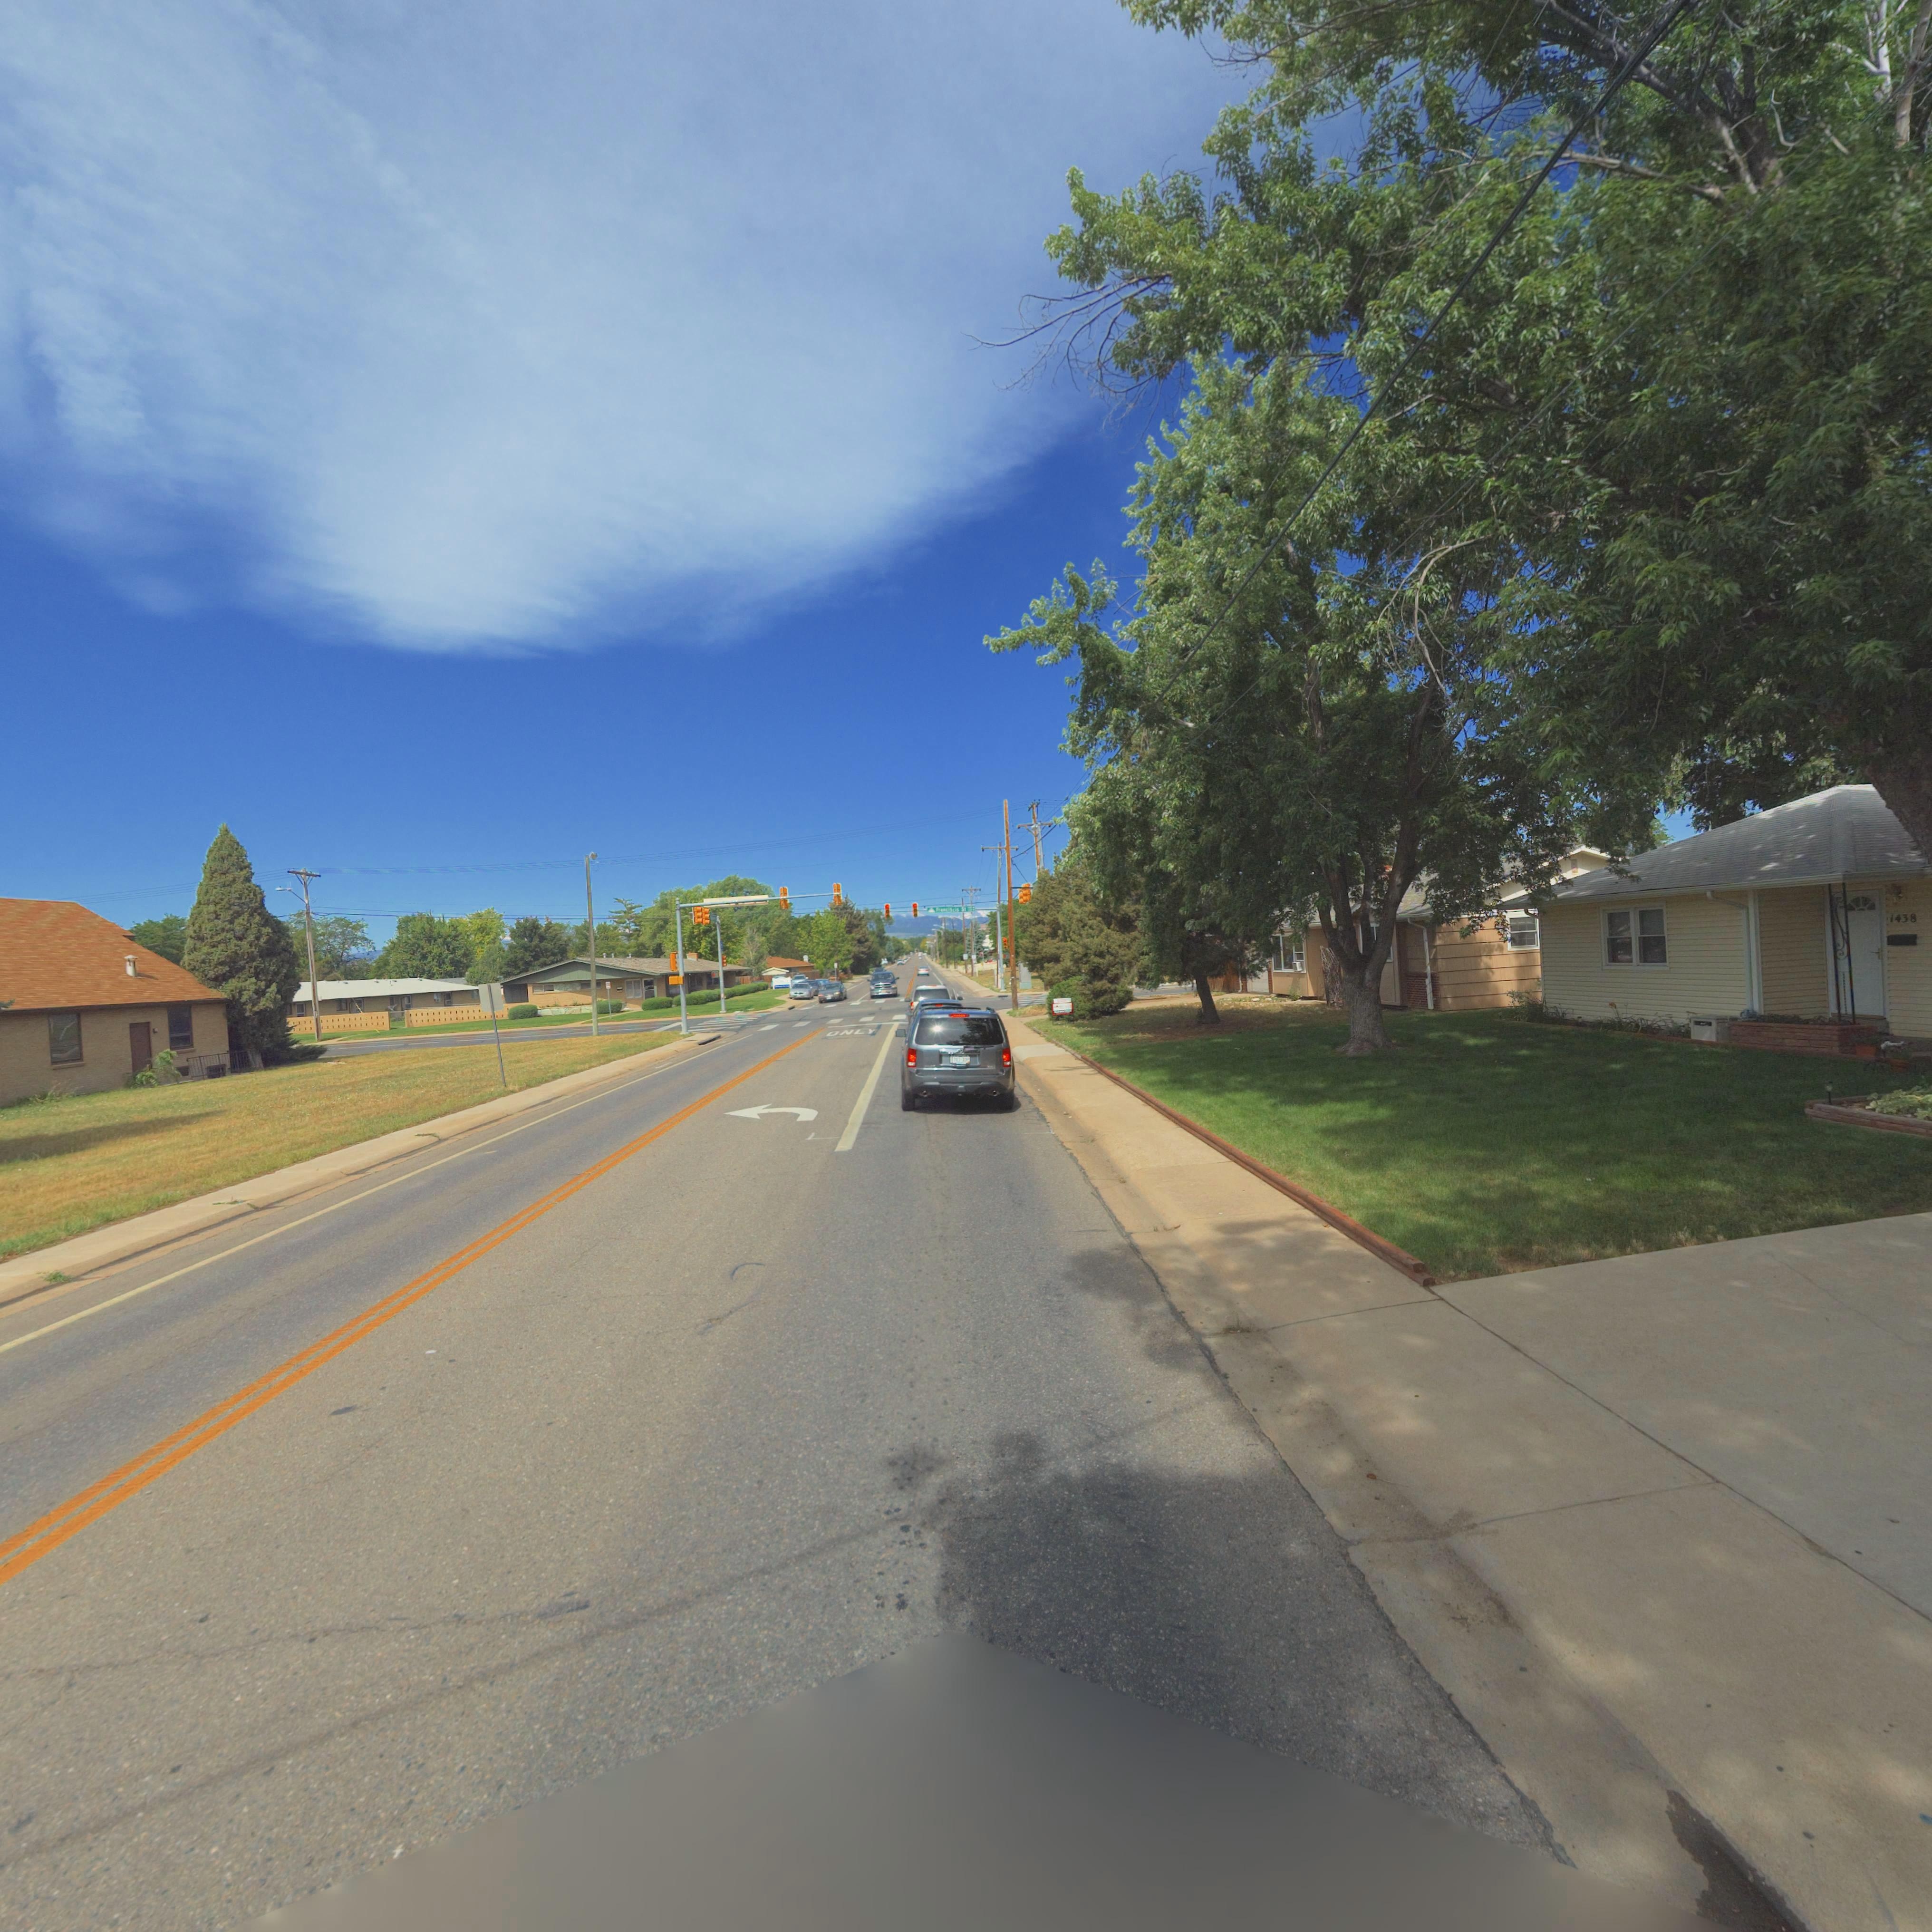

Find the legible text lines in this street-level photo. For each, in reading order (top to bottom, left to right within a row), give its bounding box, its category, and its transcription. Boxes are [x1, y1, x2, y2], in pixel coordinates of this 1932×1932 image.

[936, 907, 966, 912] StreetName: Fr***cis St
[1890, 913, 1917, 923] StreetNumber: 1438